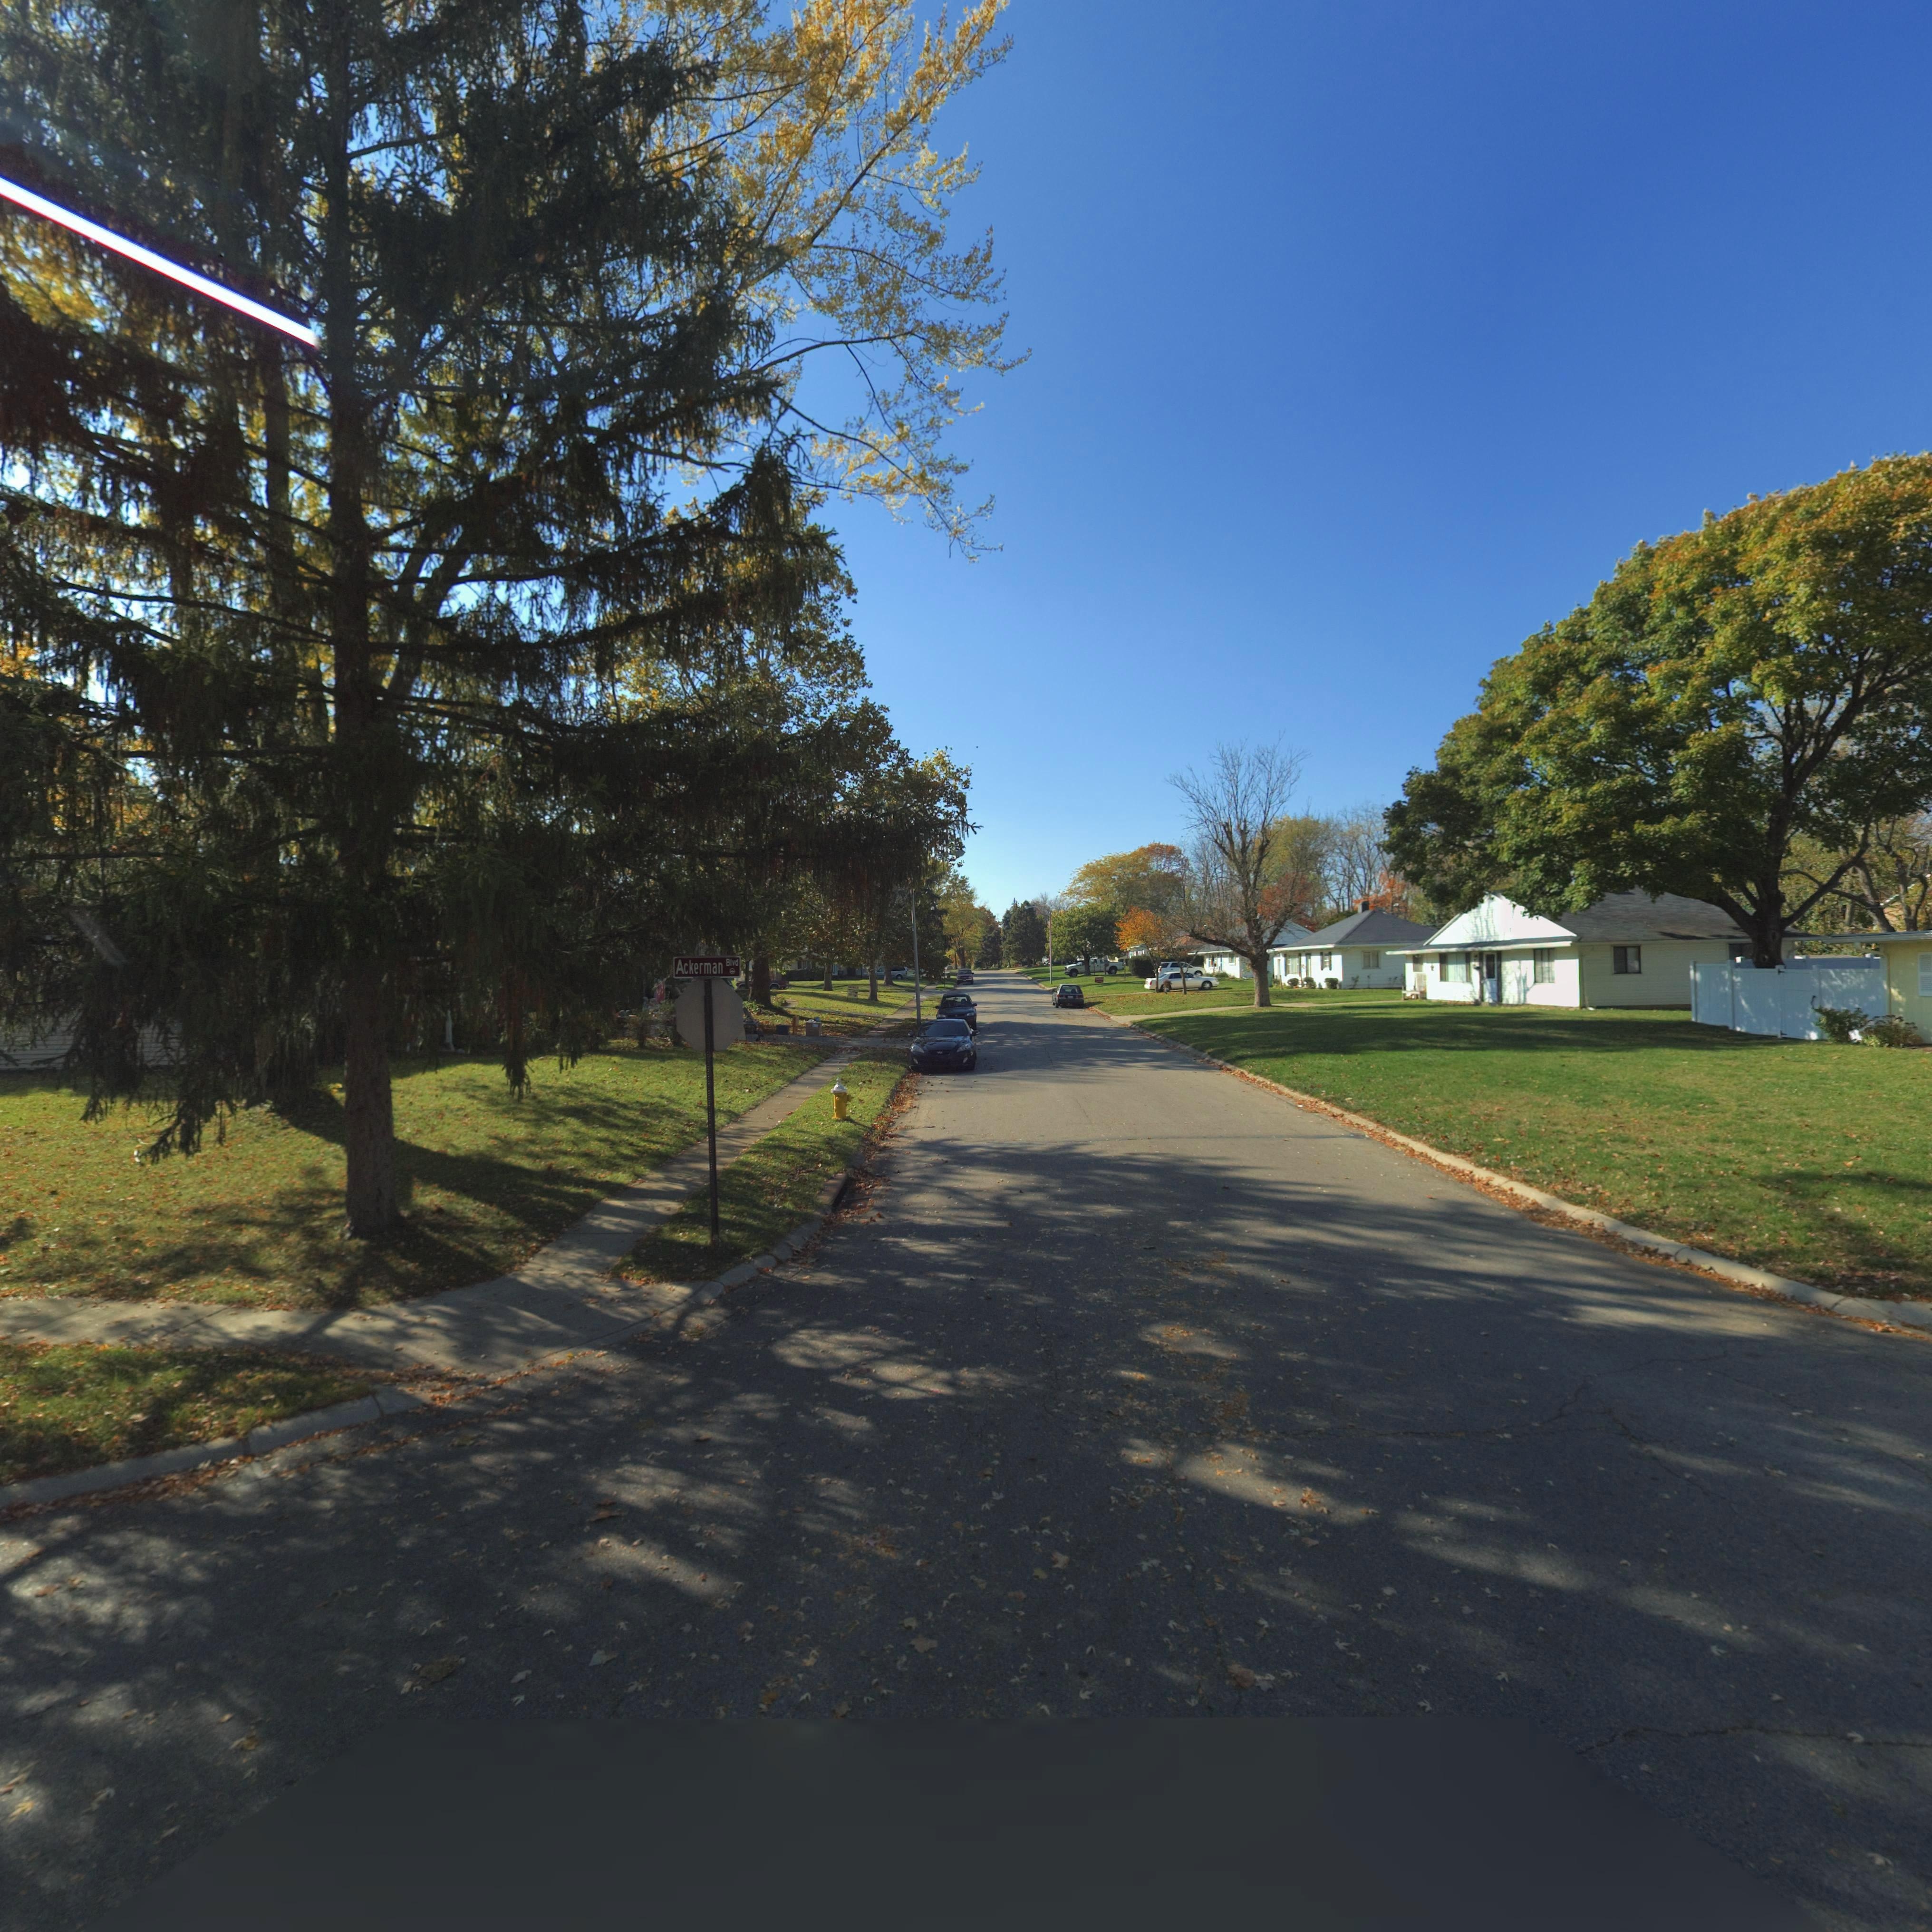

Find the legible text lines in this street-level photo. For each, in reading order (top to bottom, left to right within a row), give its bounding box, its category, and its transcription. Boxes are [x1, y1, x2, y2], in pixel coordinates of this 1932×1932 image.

[675, 958, 739, 975] StreetName: Ackerman Blvd